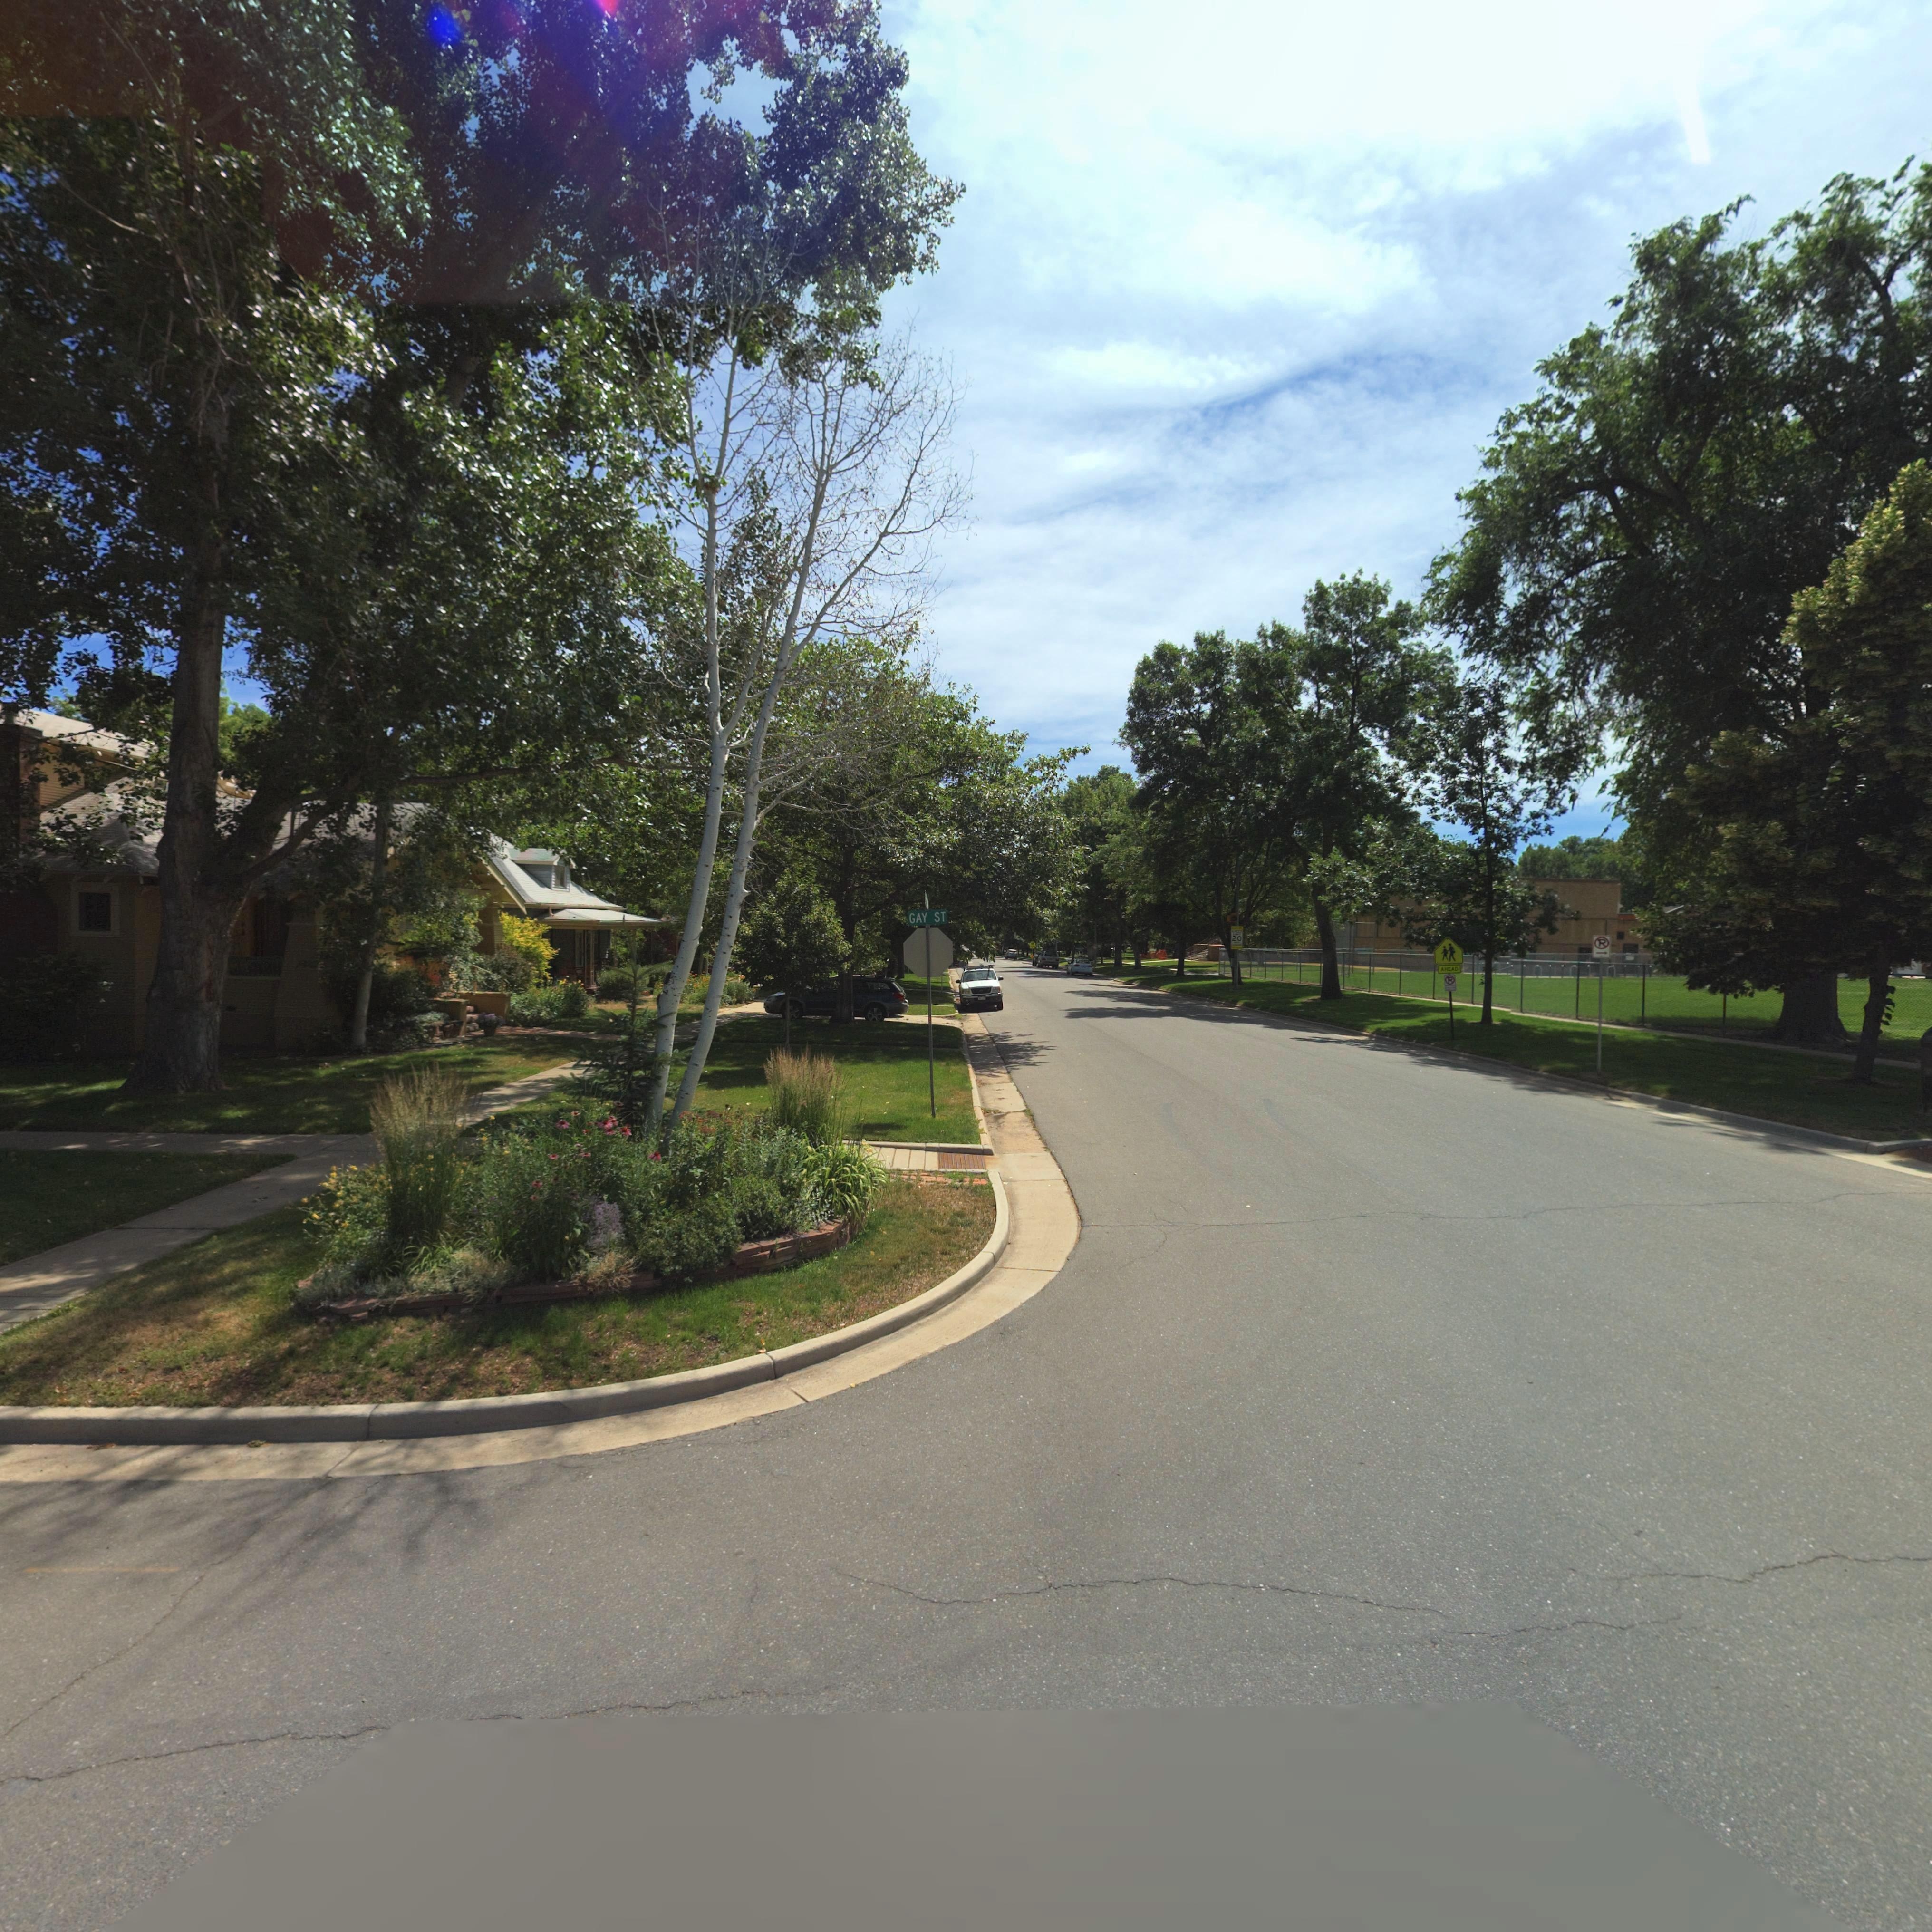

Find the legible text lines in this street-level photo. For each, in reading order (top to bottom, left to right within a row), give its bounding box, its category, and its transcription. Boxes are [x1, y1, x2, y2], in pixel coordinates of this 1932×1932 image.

[908, 911, 946, 924] StreetName: GAY ST